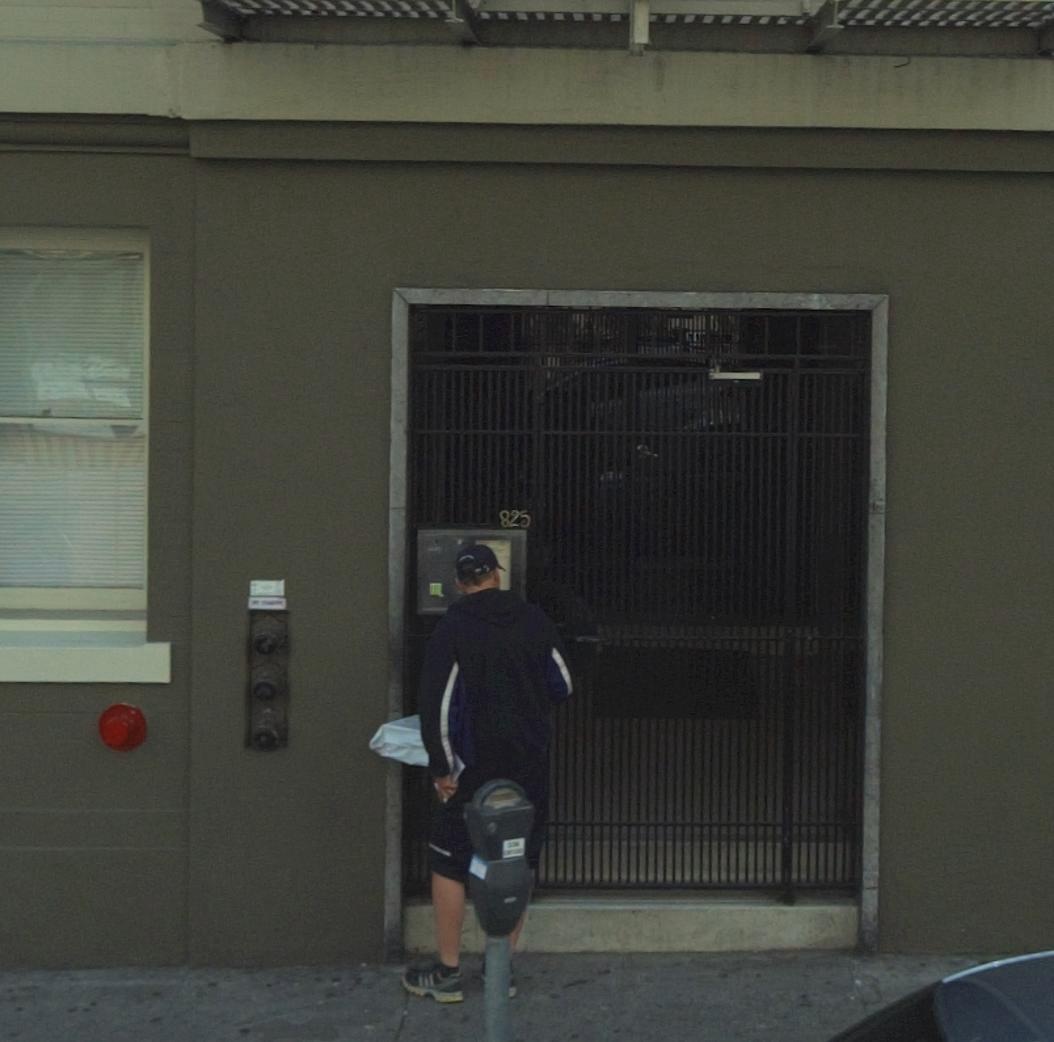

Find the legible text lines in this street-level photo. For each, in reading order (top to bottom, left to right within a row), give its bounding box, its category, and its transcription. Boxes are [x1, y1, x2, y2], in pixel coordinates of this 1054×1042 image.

[493, 504, 535, 534] StreetNumber: 825